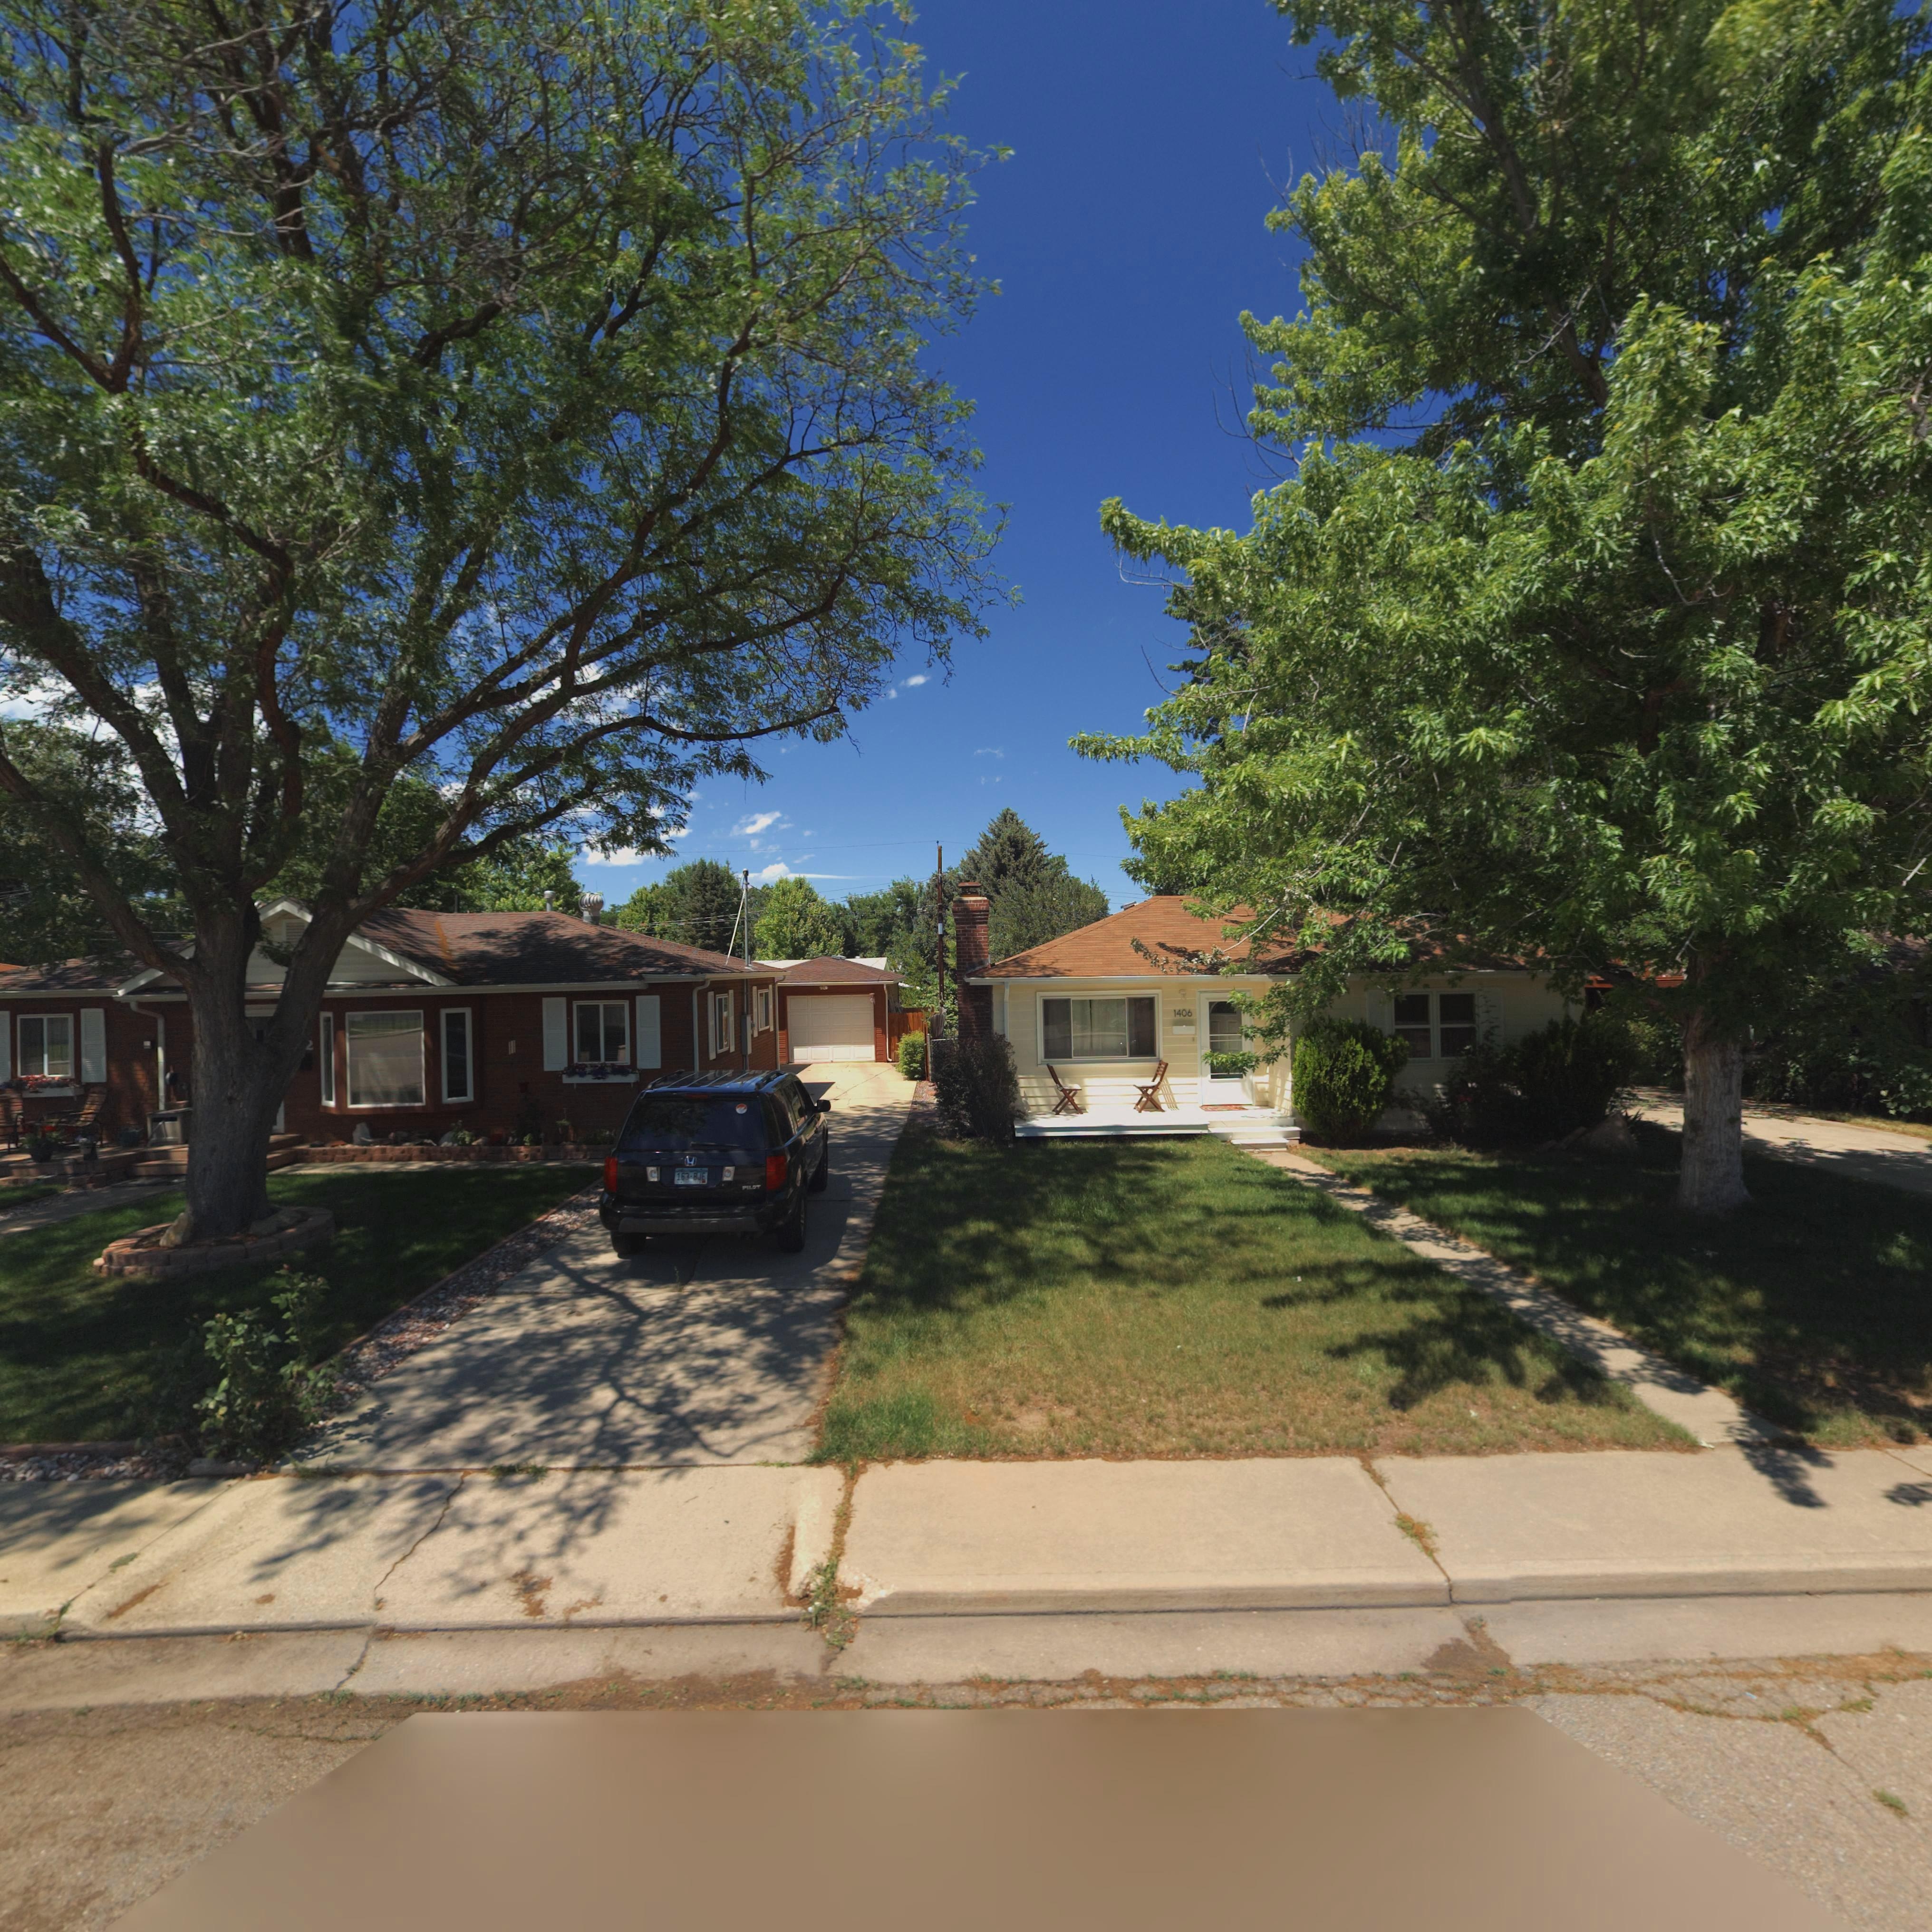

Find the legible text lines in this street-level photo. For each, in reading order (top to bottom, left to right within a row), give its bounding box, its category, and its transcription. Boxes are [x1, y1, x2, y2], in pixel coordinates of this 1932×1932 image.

[1173, 1009, 1193, 1017] StreetNumber: 1406
[305, 1039, 314, 1051] StreetNumber: 2